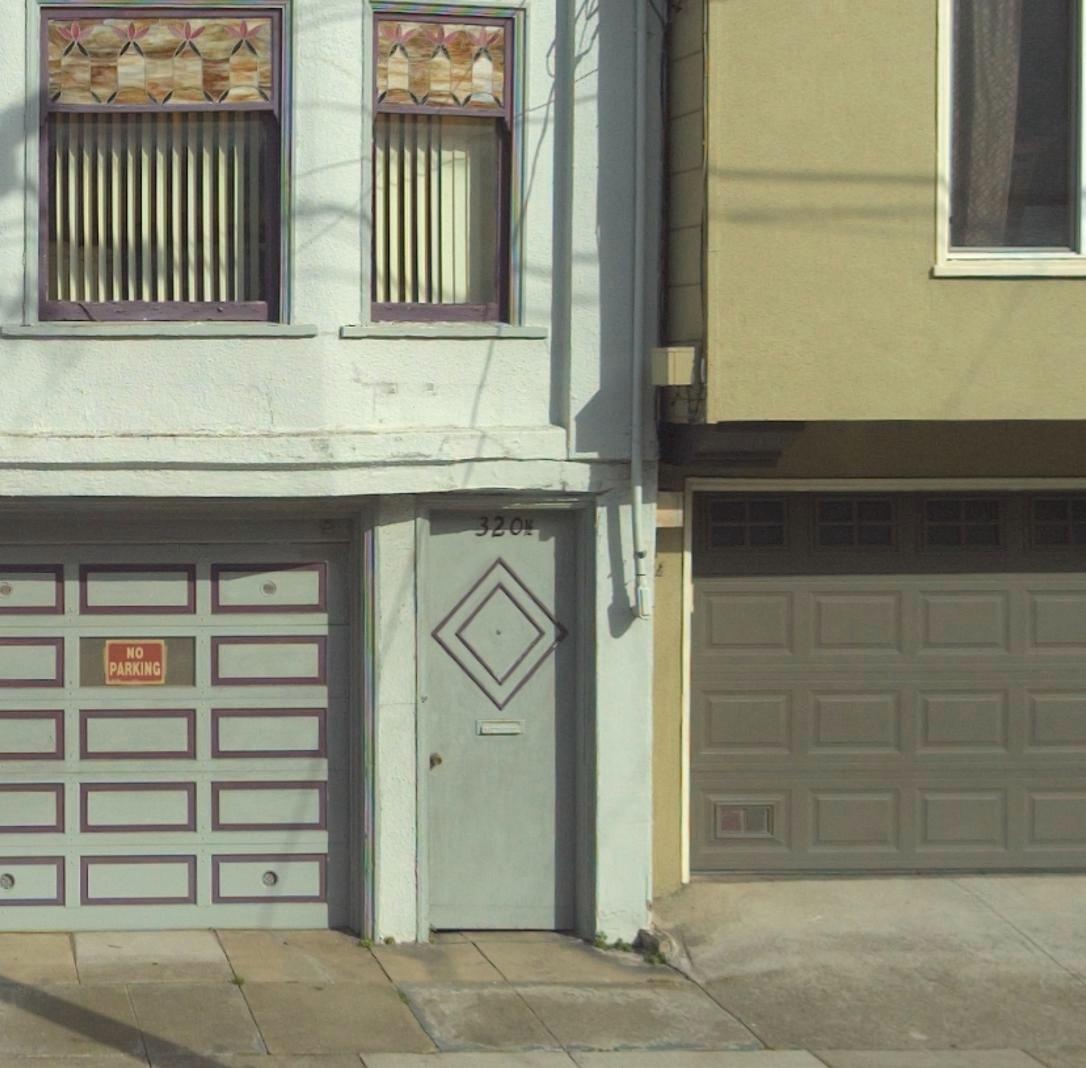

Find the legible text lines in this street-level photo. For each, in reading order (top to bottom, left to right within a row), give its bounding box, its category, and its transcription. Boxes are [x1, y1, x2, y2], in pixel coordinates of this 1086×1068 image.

[474, 515, 535, 538] StreetNumber: 320 1/2
[125, 646, 145, 661] None: NO
[109, 660, 161, 677] None: PARKING